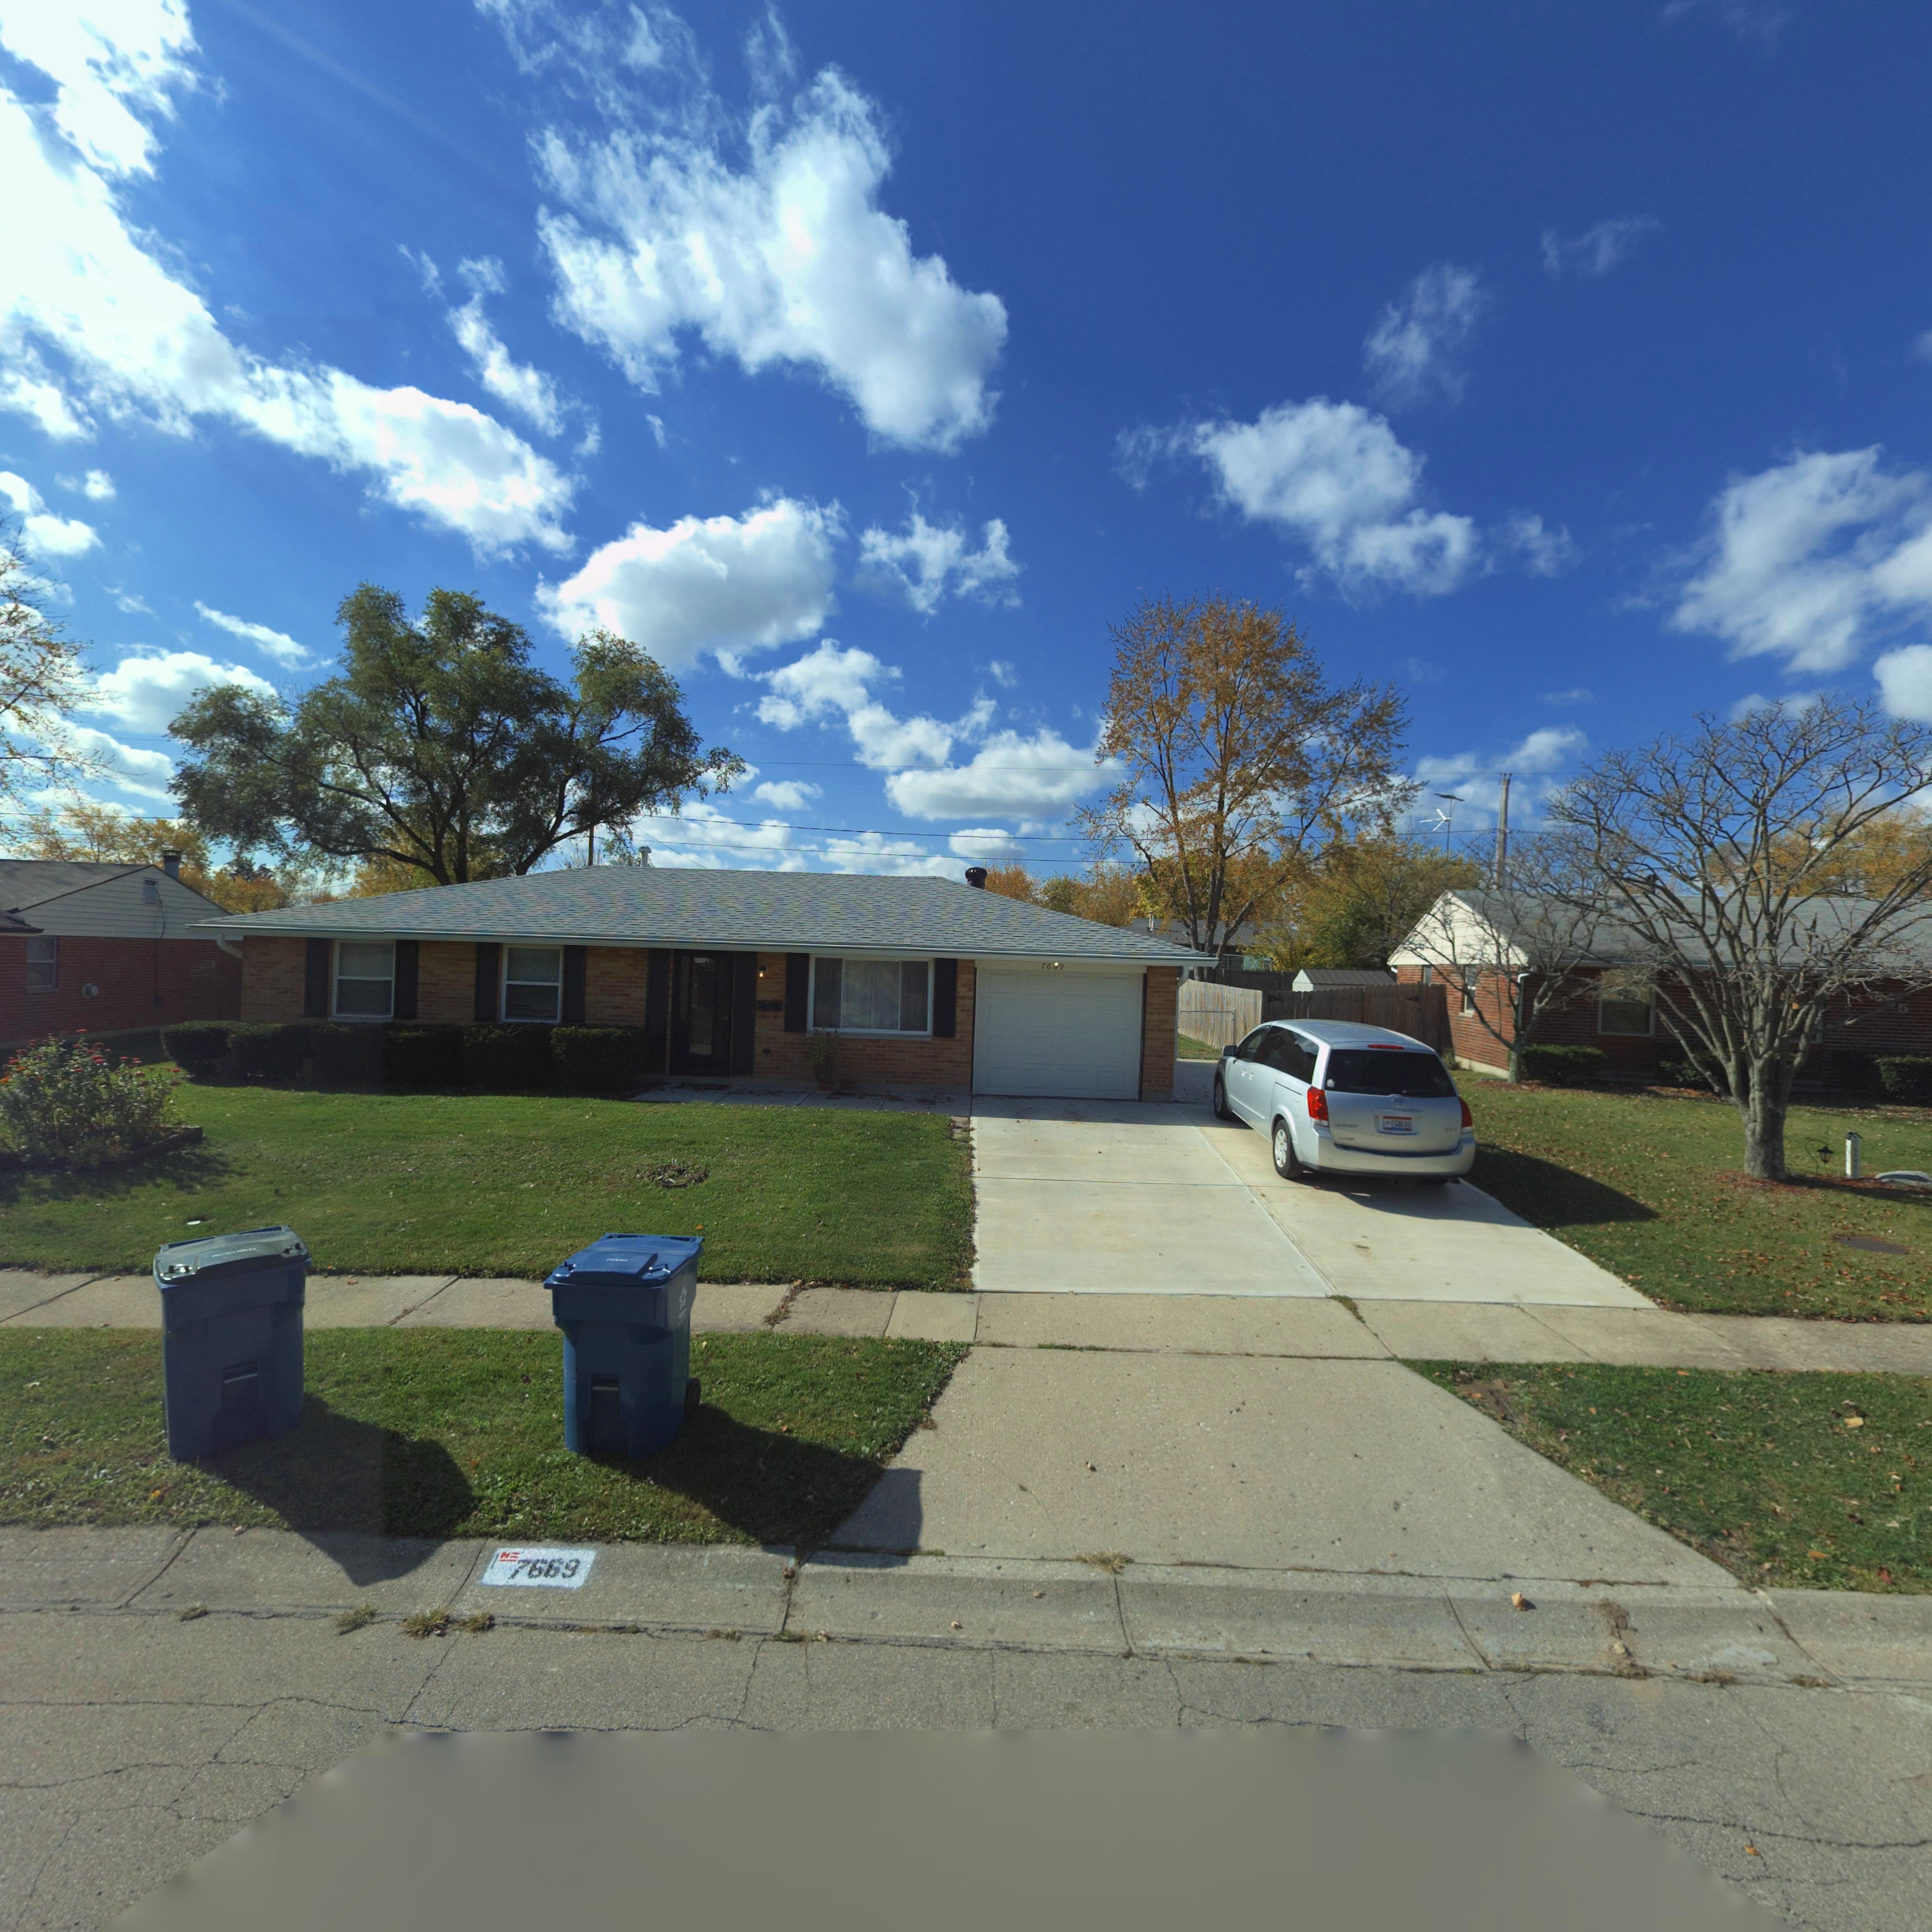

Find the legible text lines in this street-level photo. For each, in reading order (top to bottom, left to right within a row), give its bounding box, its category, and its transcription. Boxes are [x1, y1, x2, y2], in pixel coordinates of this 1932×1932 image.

[1040, 962, 1065, 971] StreetNumber: 76*9
[503, 1557, 582, 1582] StreetNumber: 7669